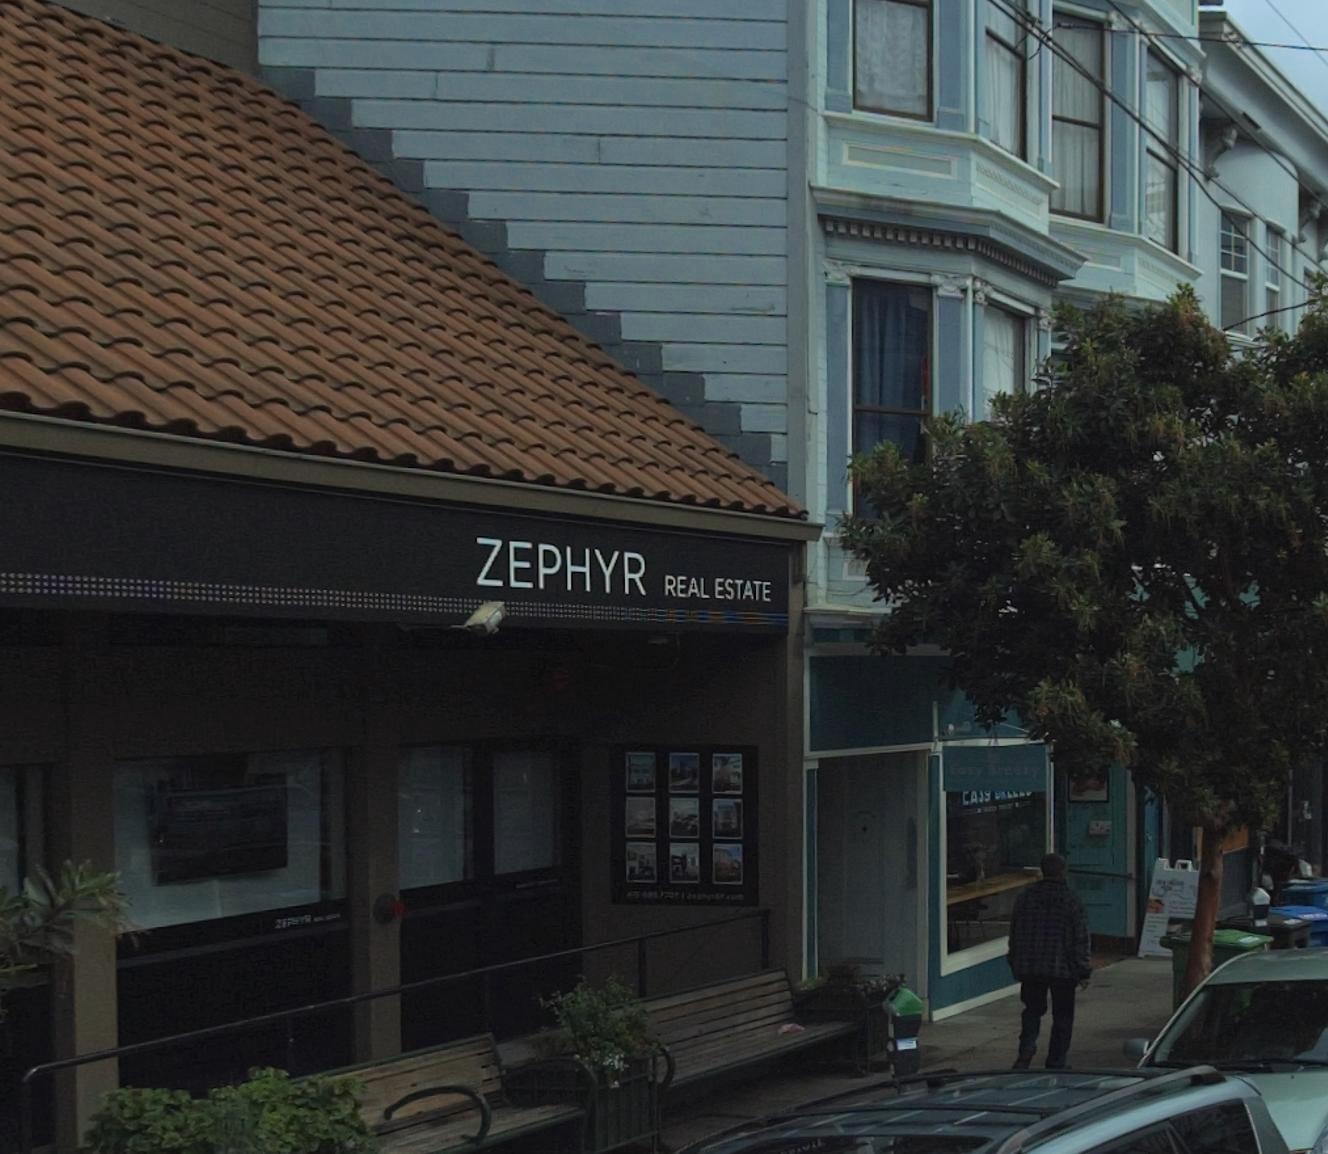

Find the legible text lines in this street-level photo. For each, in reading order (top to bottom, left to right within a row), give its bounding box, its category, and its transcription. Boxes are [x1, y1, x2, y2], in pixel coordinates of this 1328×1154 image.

[474, 534, 773, 604] BusinessName: ZEPHYR REAL ESTATE
[946, 760, 1042, 783] BusinessName: Easy Breezy